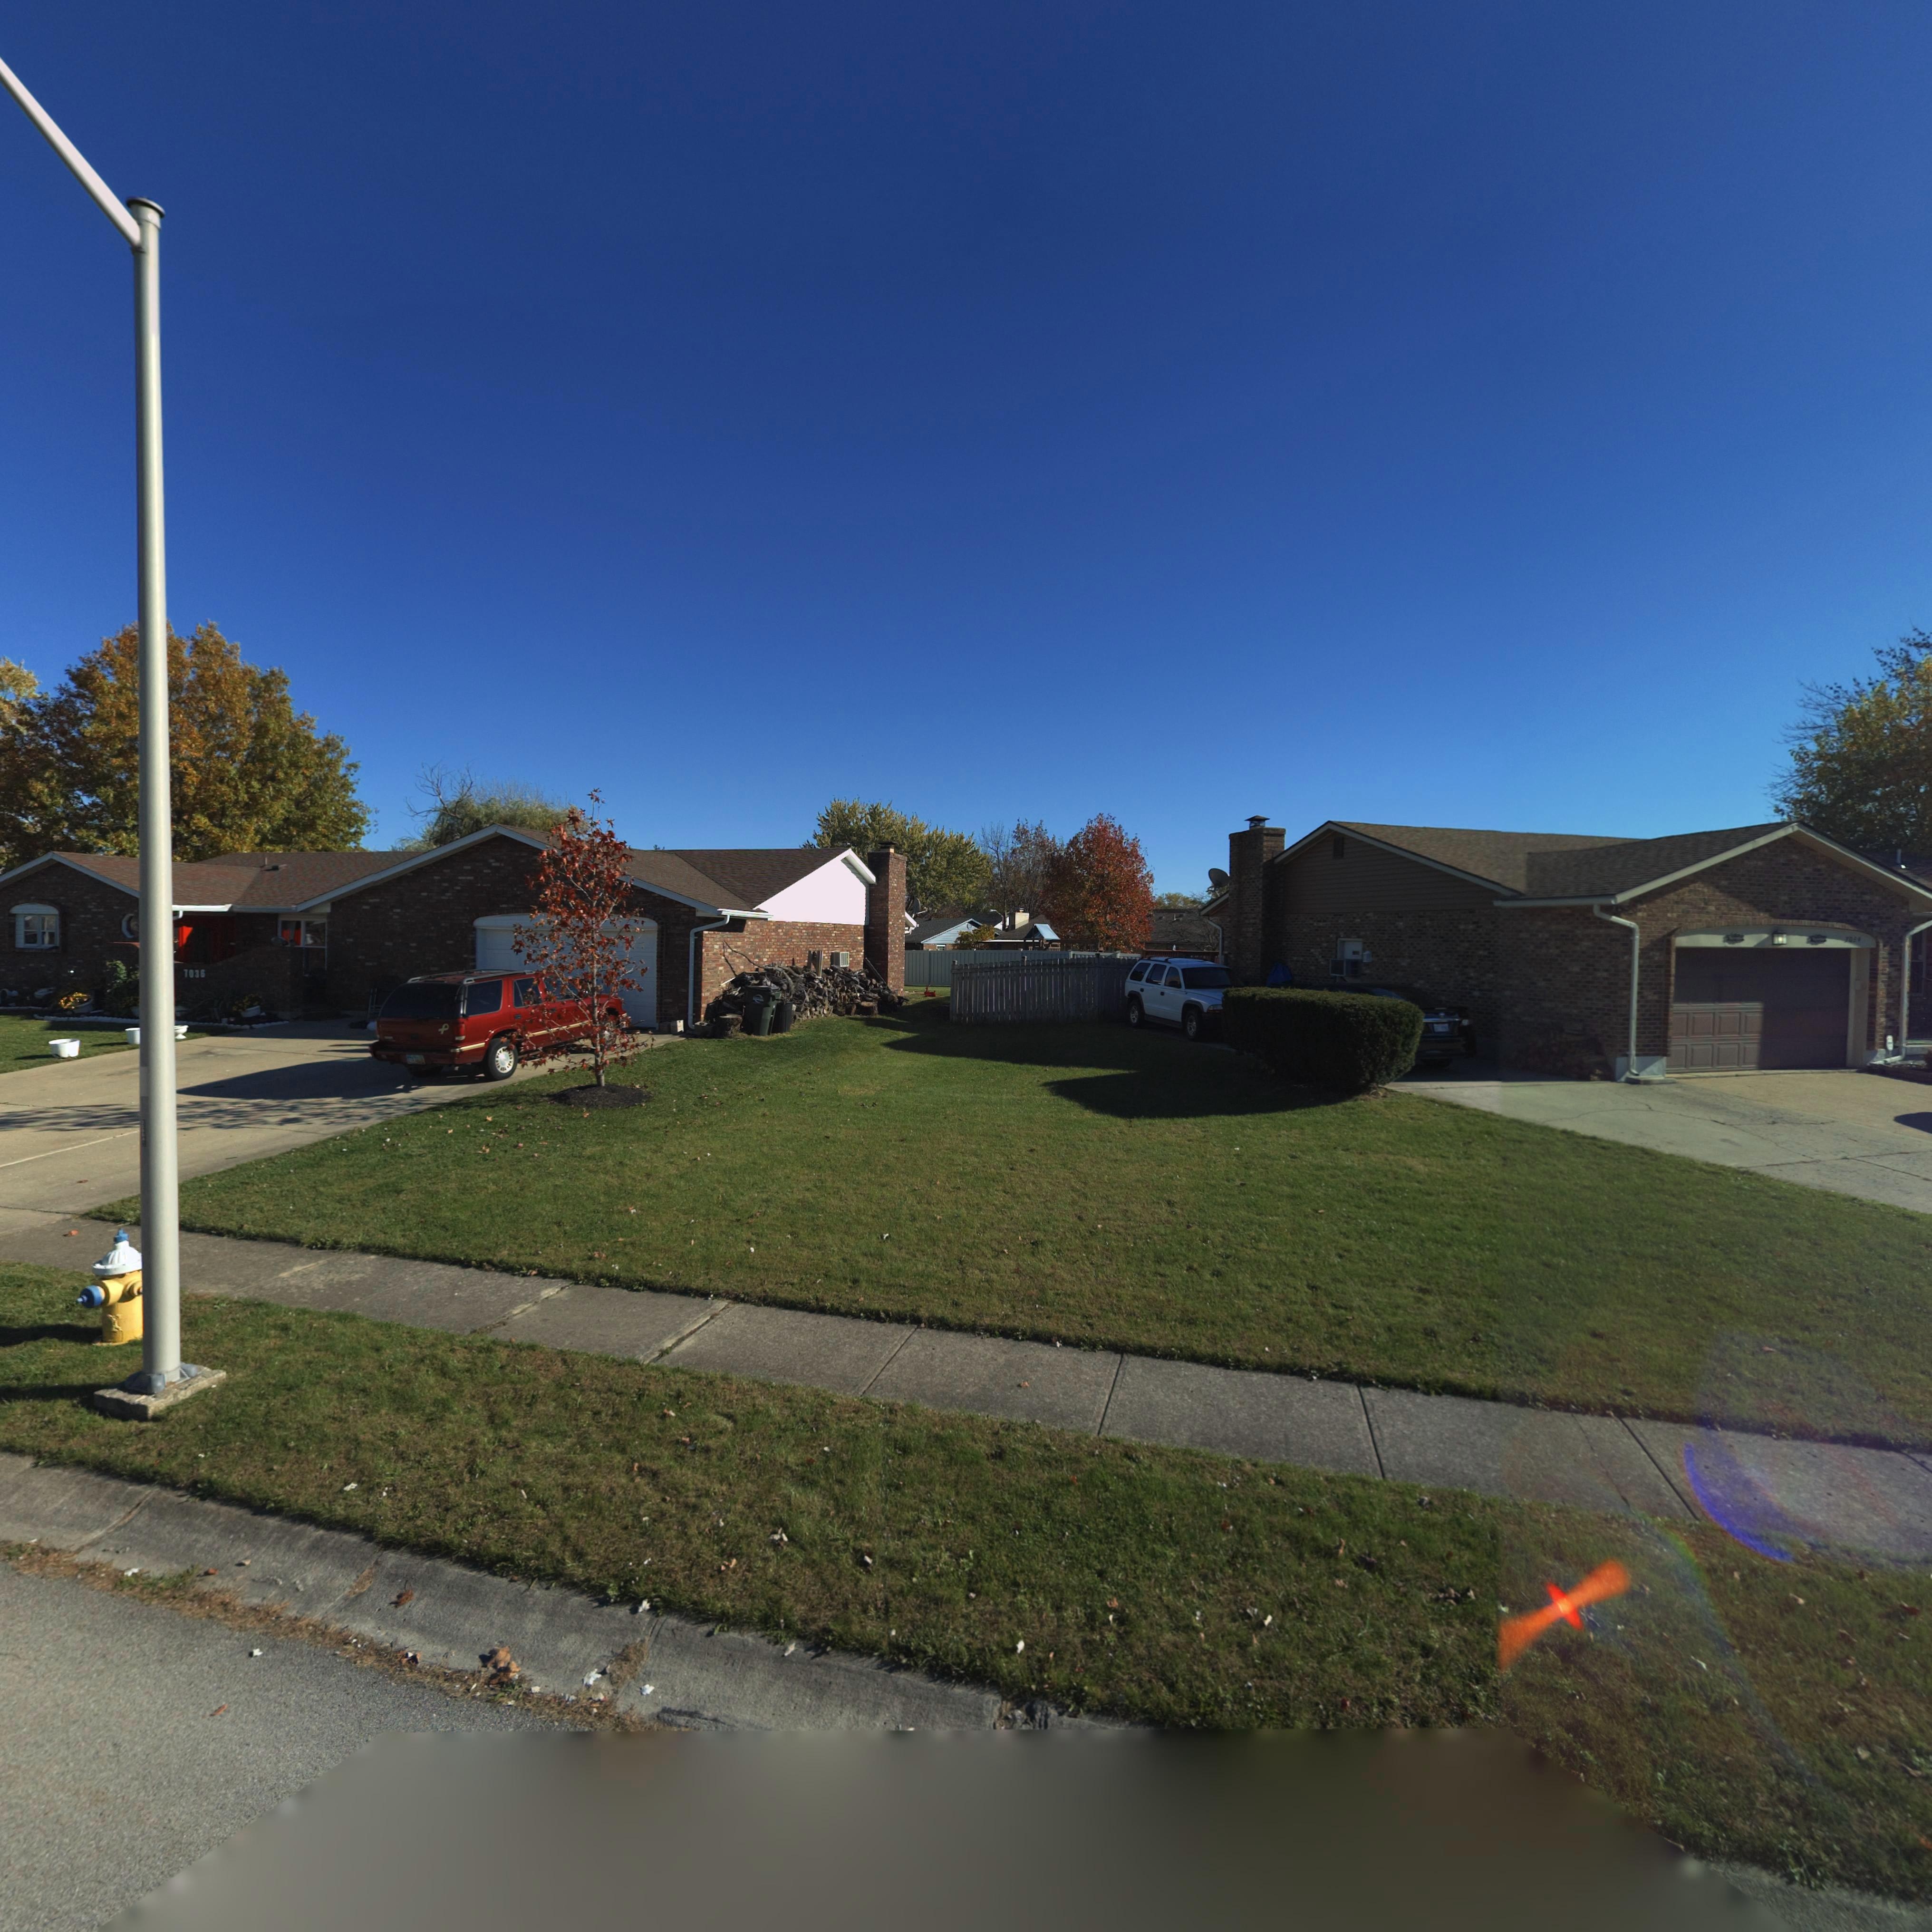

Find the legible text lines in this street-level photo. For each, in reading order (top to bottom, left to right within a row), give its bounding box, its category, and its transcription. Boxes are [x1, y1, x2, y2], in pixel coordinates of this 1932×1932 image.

[1844, 936, 1861, 943] StreetNumber: 7034
[183, 968, 206, 978] StreetNumber: 7036